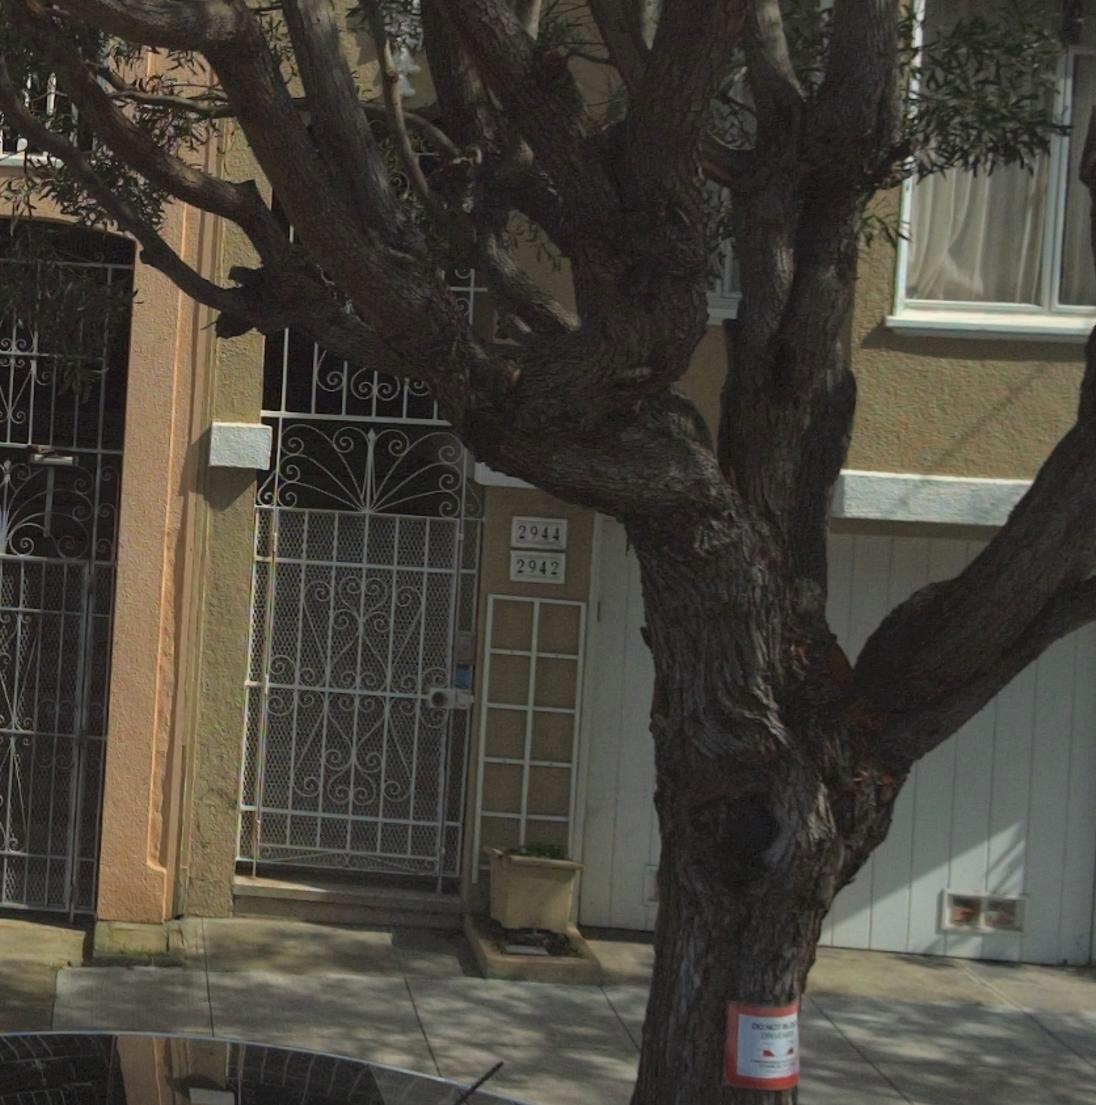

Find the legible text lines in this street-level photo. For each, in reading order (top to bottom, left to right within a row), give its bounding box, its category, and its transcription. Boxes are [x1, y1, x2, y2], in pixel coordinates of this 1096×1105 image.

[516, 522, 563, 543] StreetNumber: 2944
[514, 556, 561, 578] StreetNumber: 2942